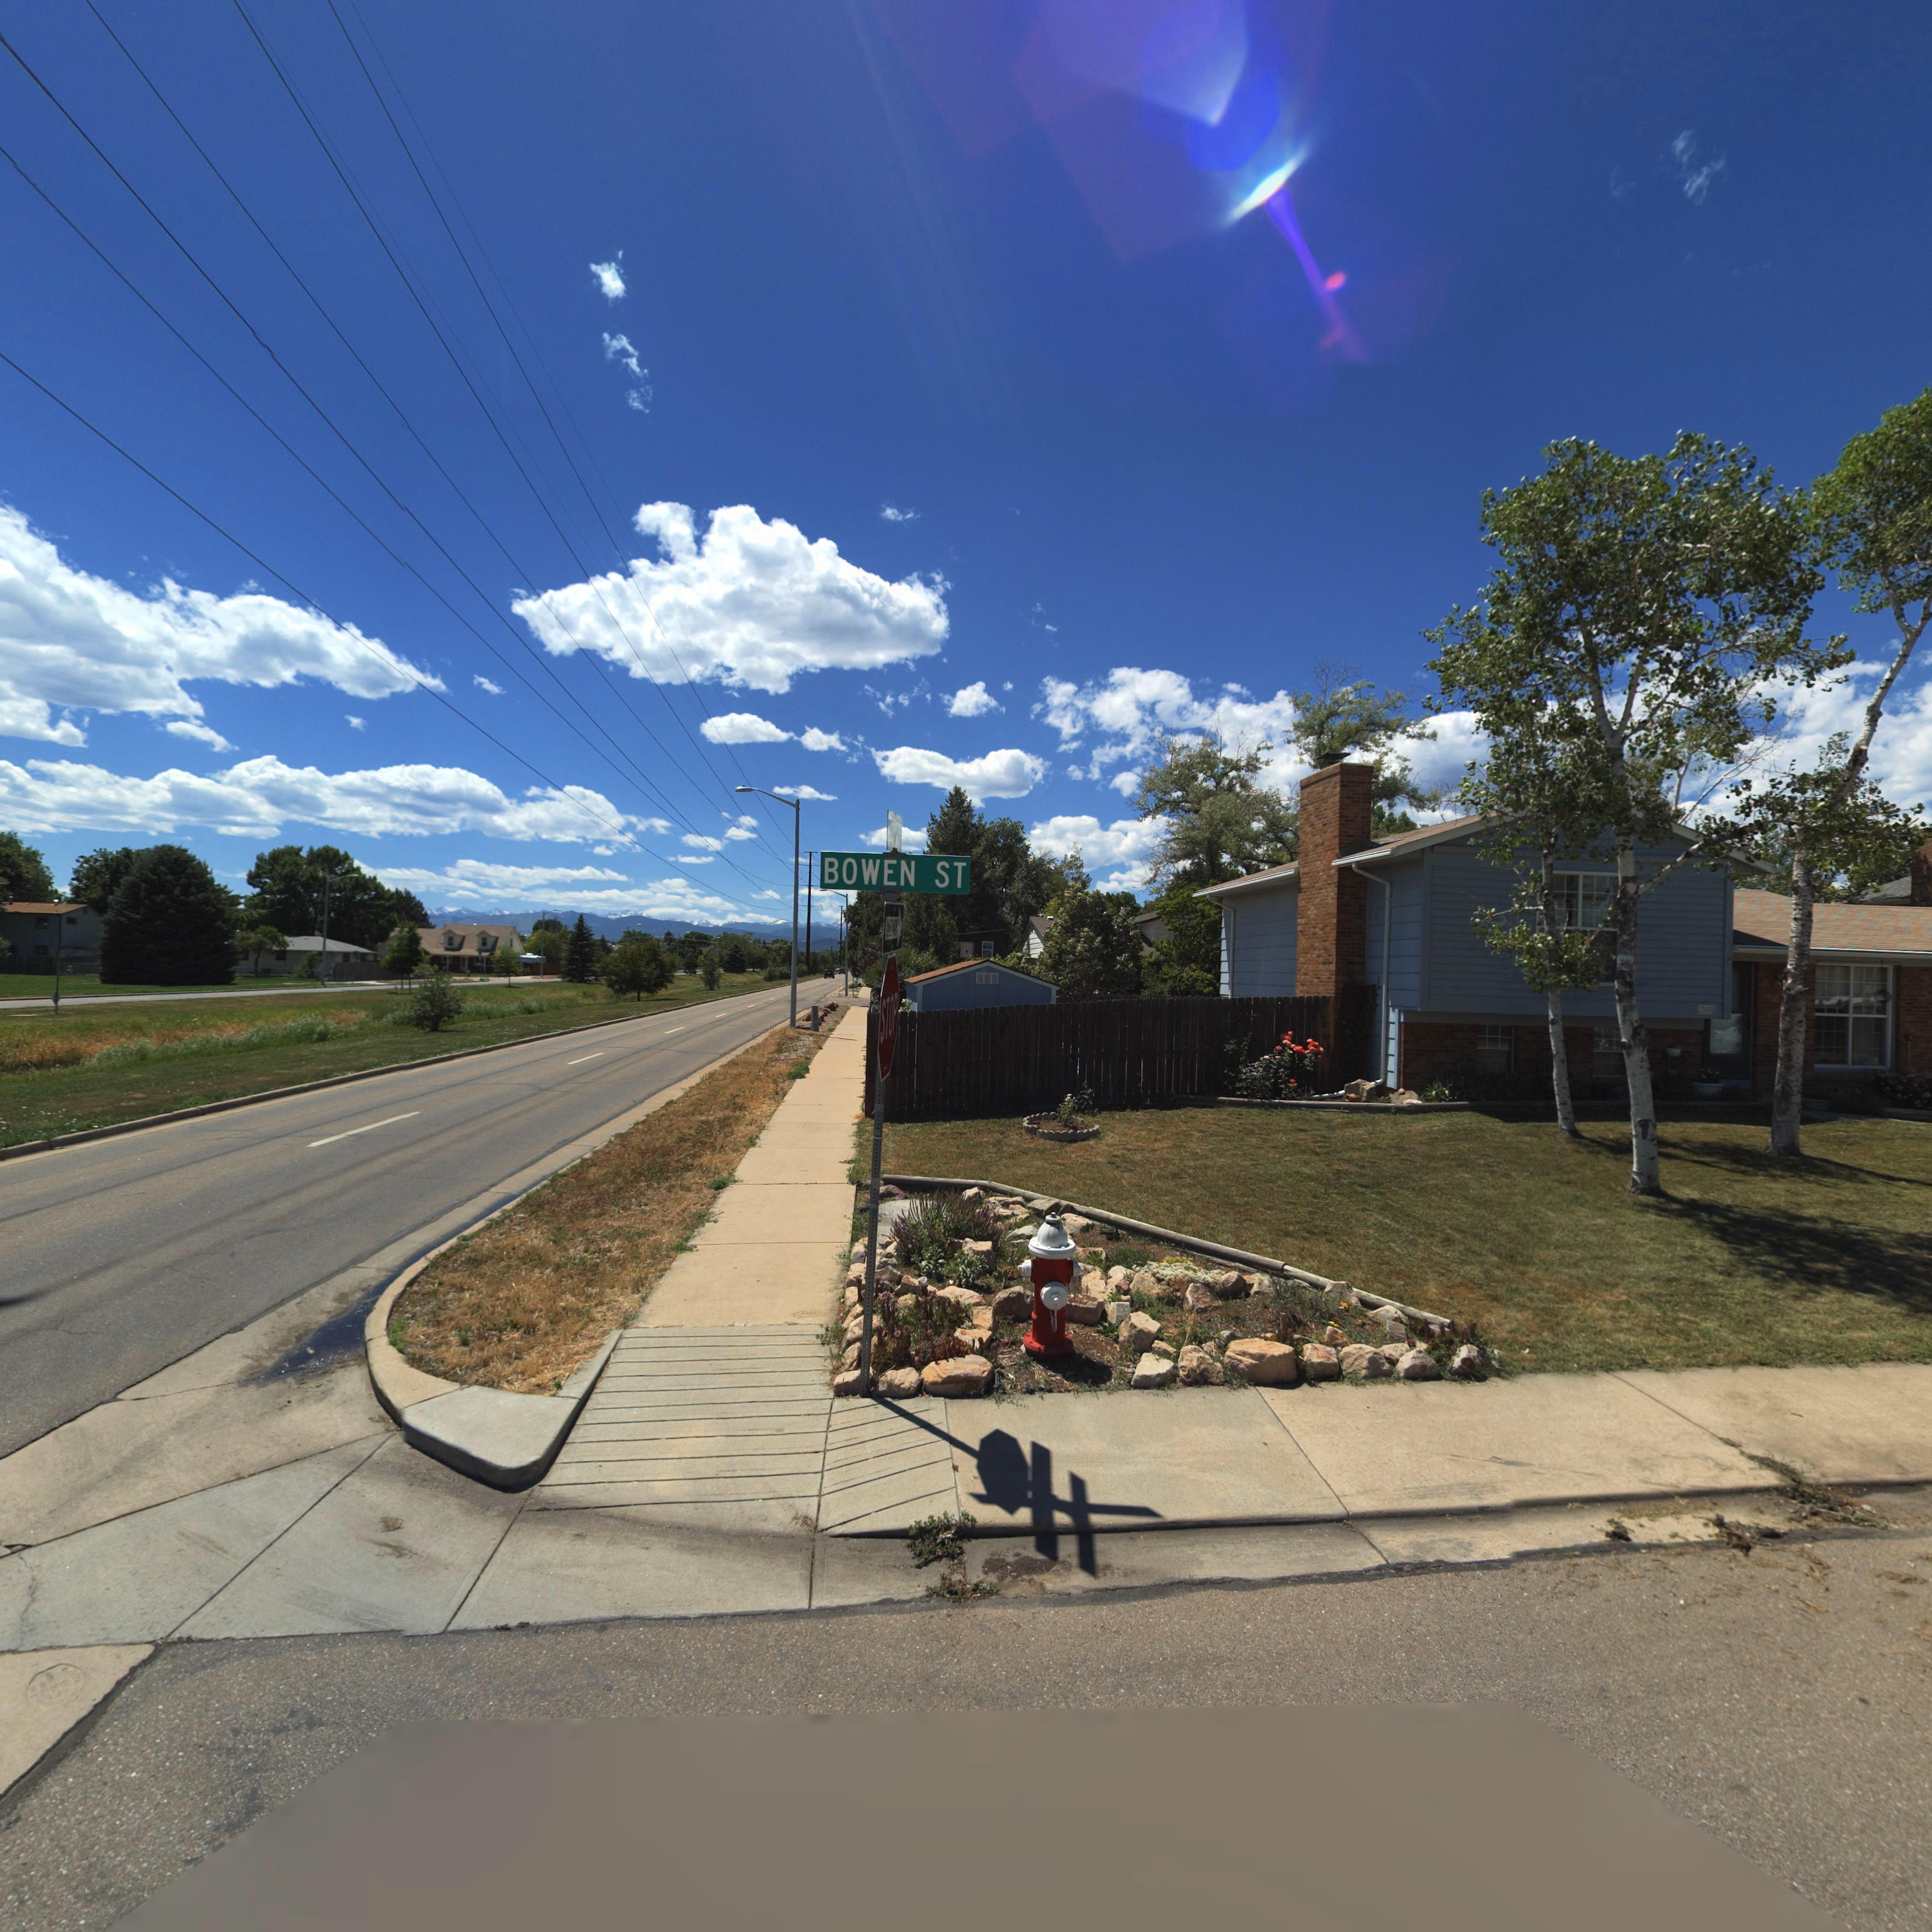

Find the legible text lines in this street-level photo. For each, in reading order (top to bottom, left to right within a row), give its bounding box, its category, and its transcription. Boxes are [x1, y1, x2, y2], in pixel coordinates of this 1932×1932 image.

[824, 857, 966, 888] StreetName: BOWEN ST
[1697, 1005, 1714, 1014] StreetNumber: 2101